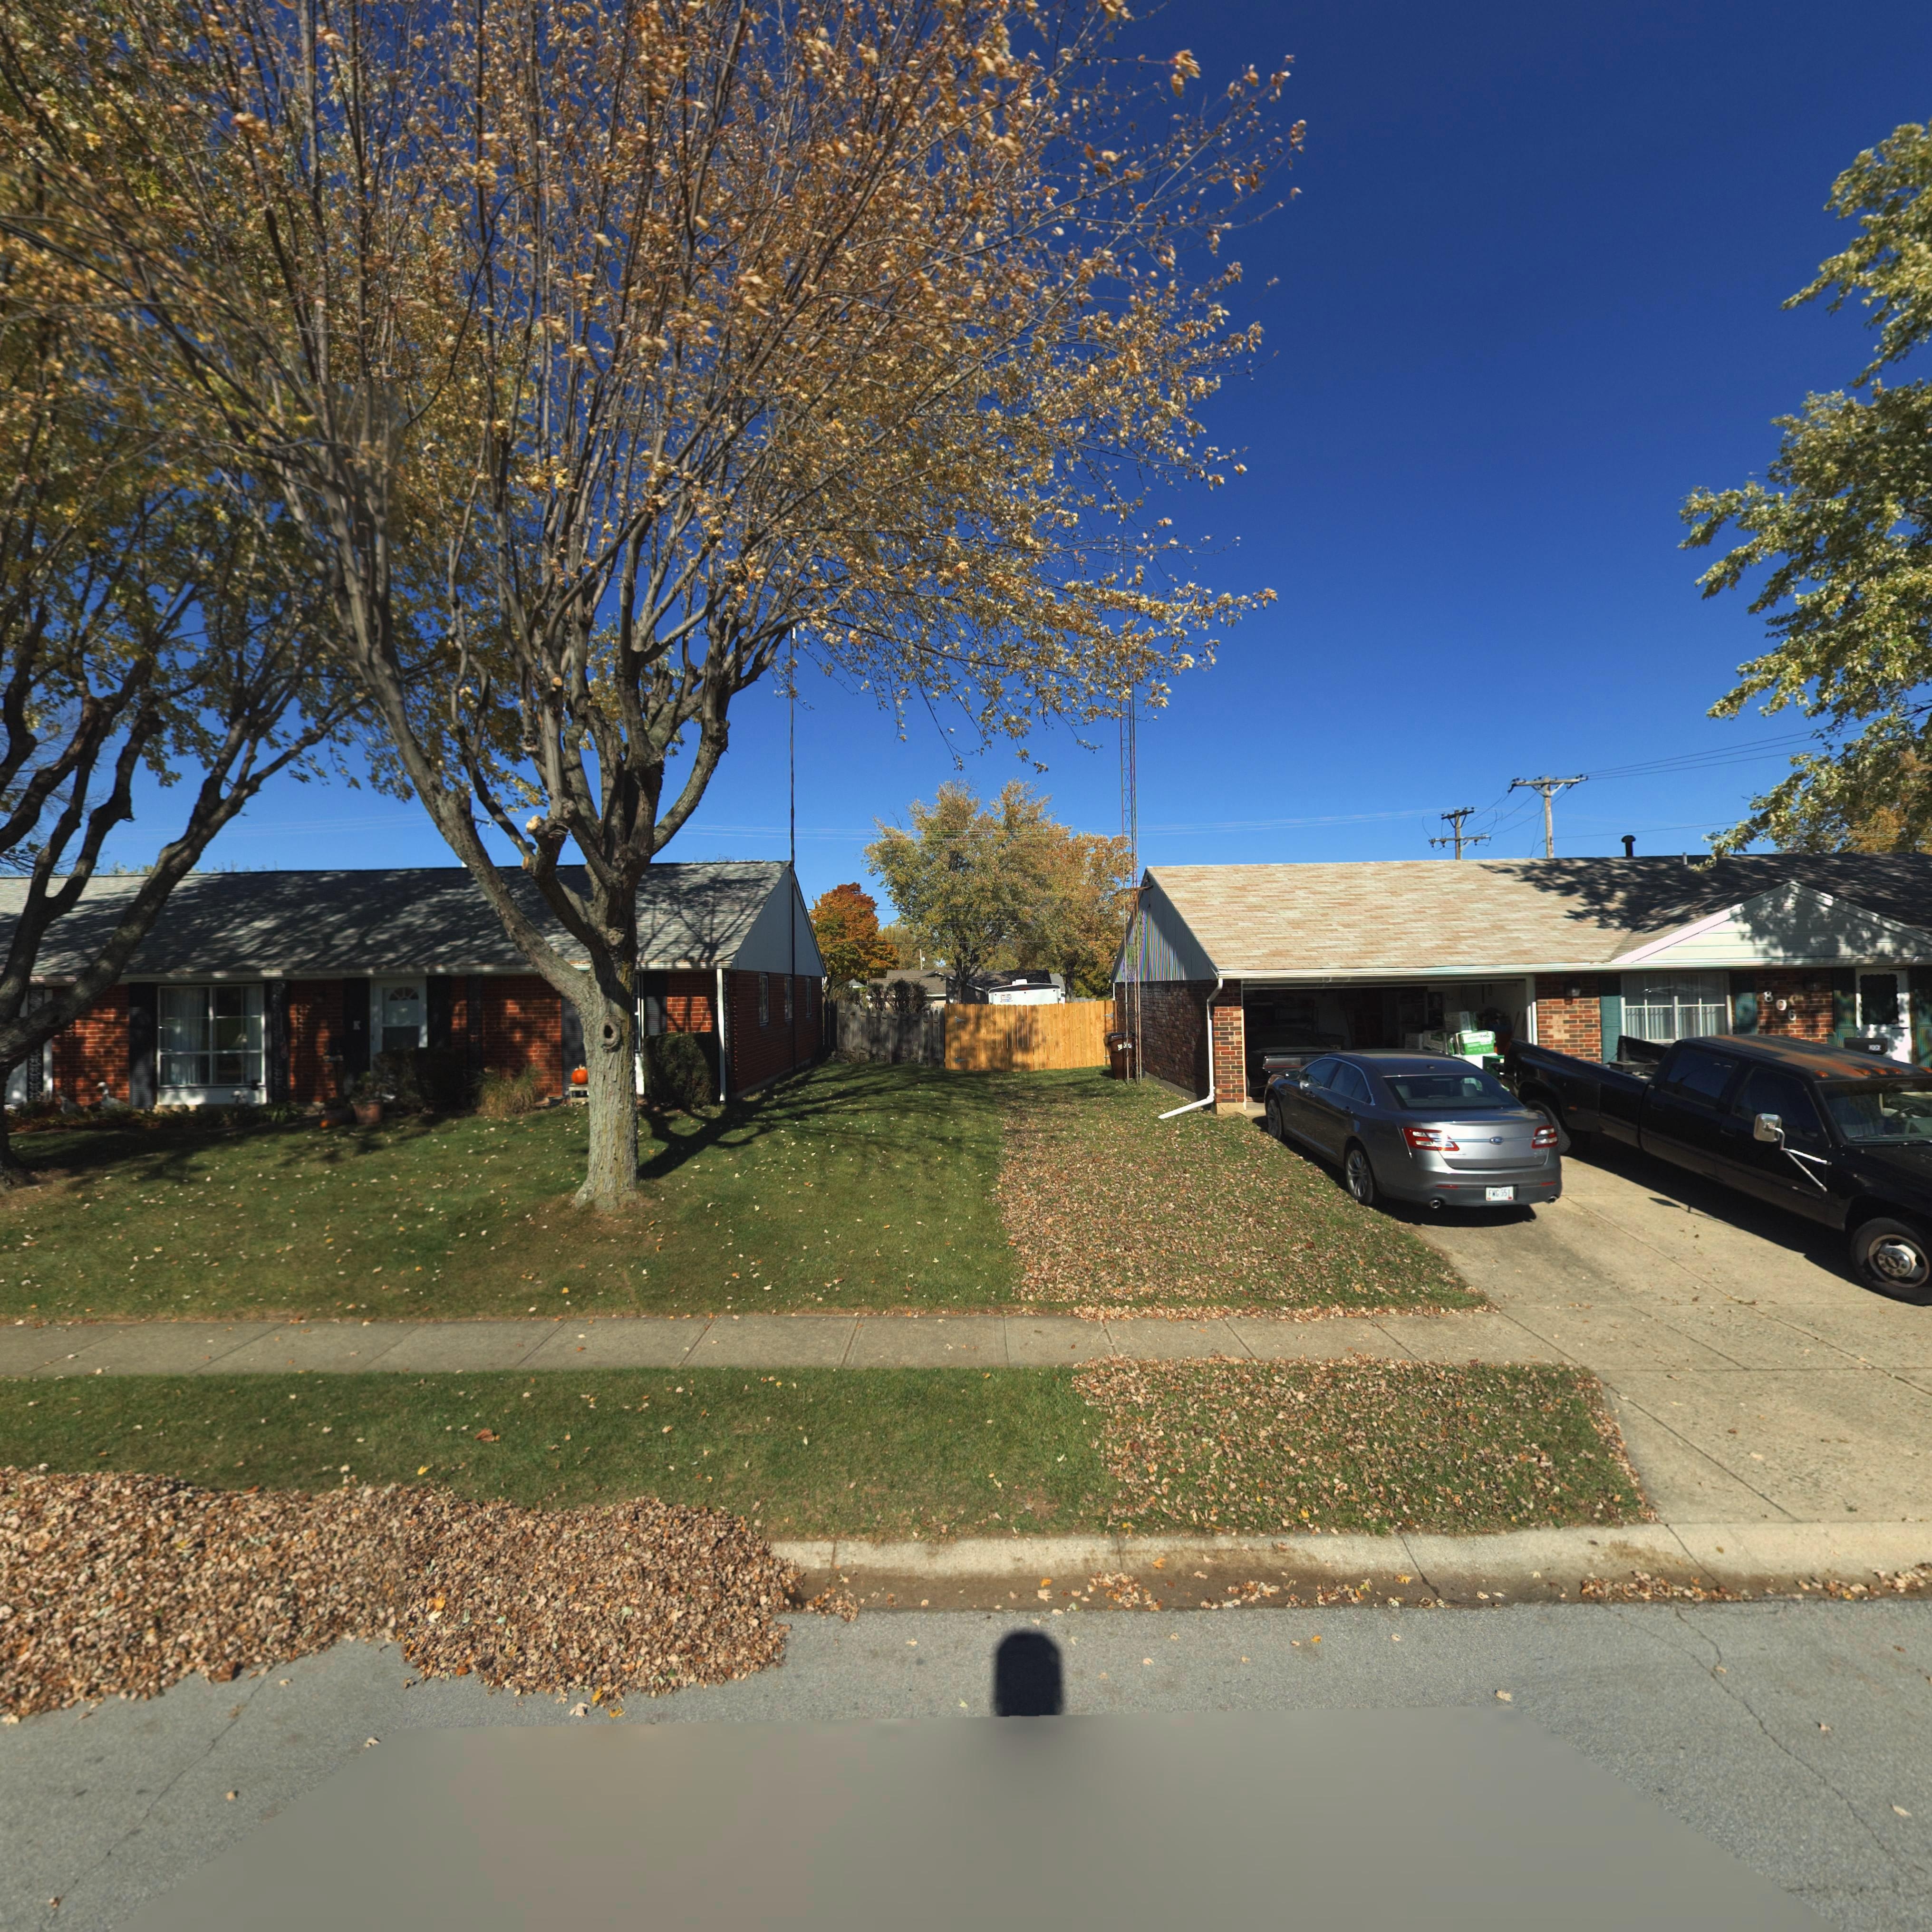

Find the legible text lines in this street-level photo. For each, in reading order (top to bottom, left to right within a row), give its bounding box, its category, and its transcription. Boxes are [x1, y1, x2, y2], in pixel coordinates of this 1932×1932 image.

[1763, 989, 1798, 1022] StreetNumber: 806
[1868, 1044, 1882, 1051] StreetNumber: *06